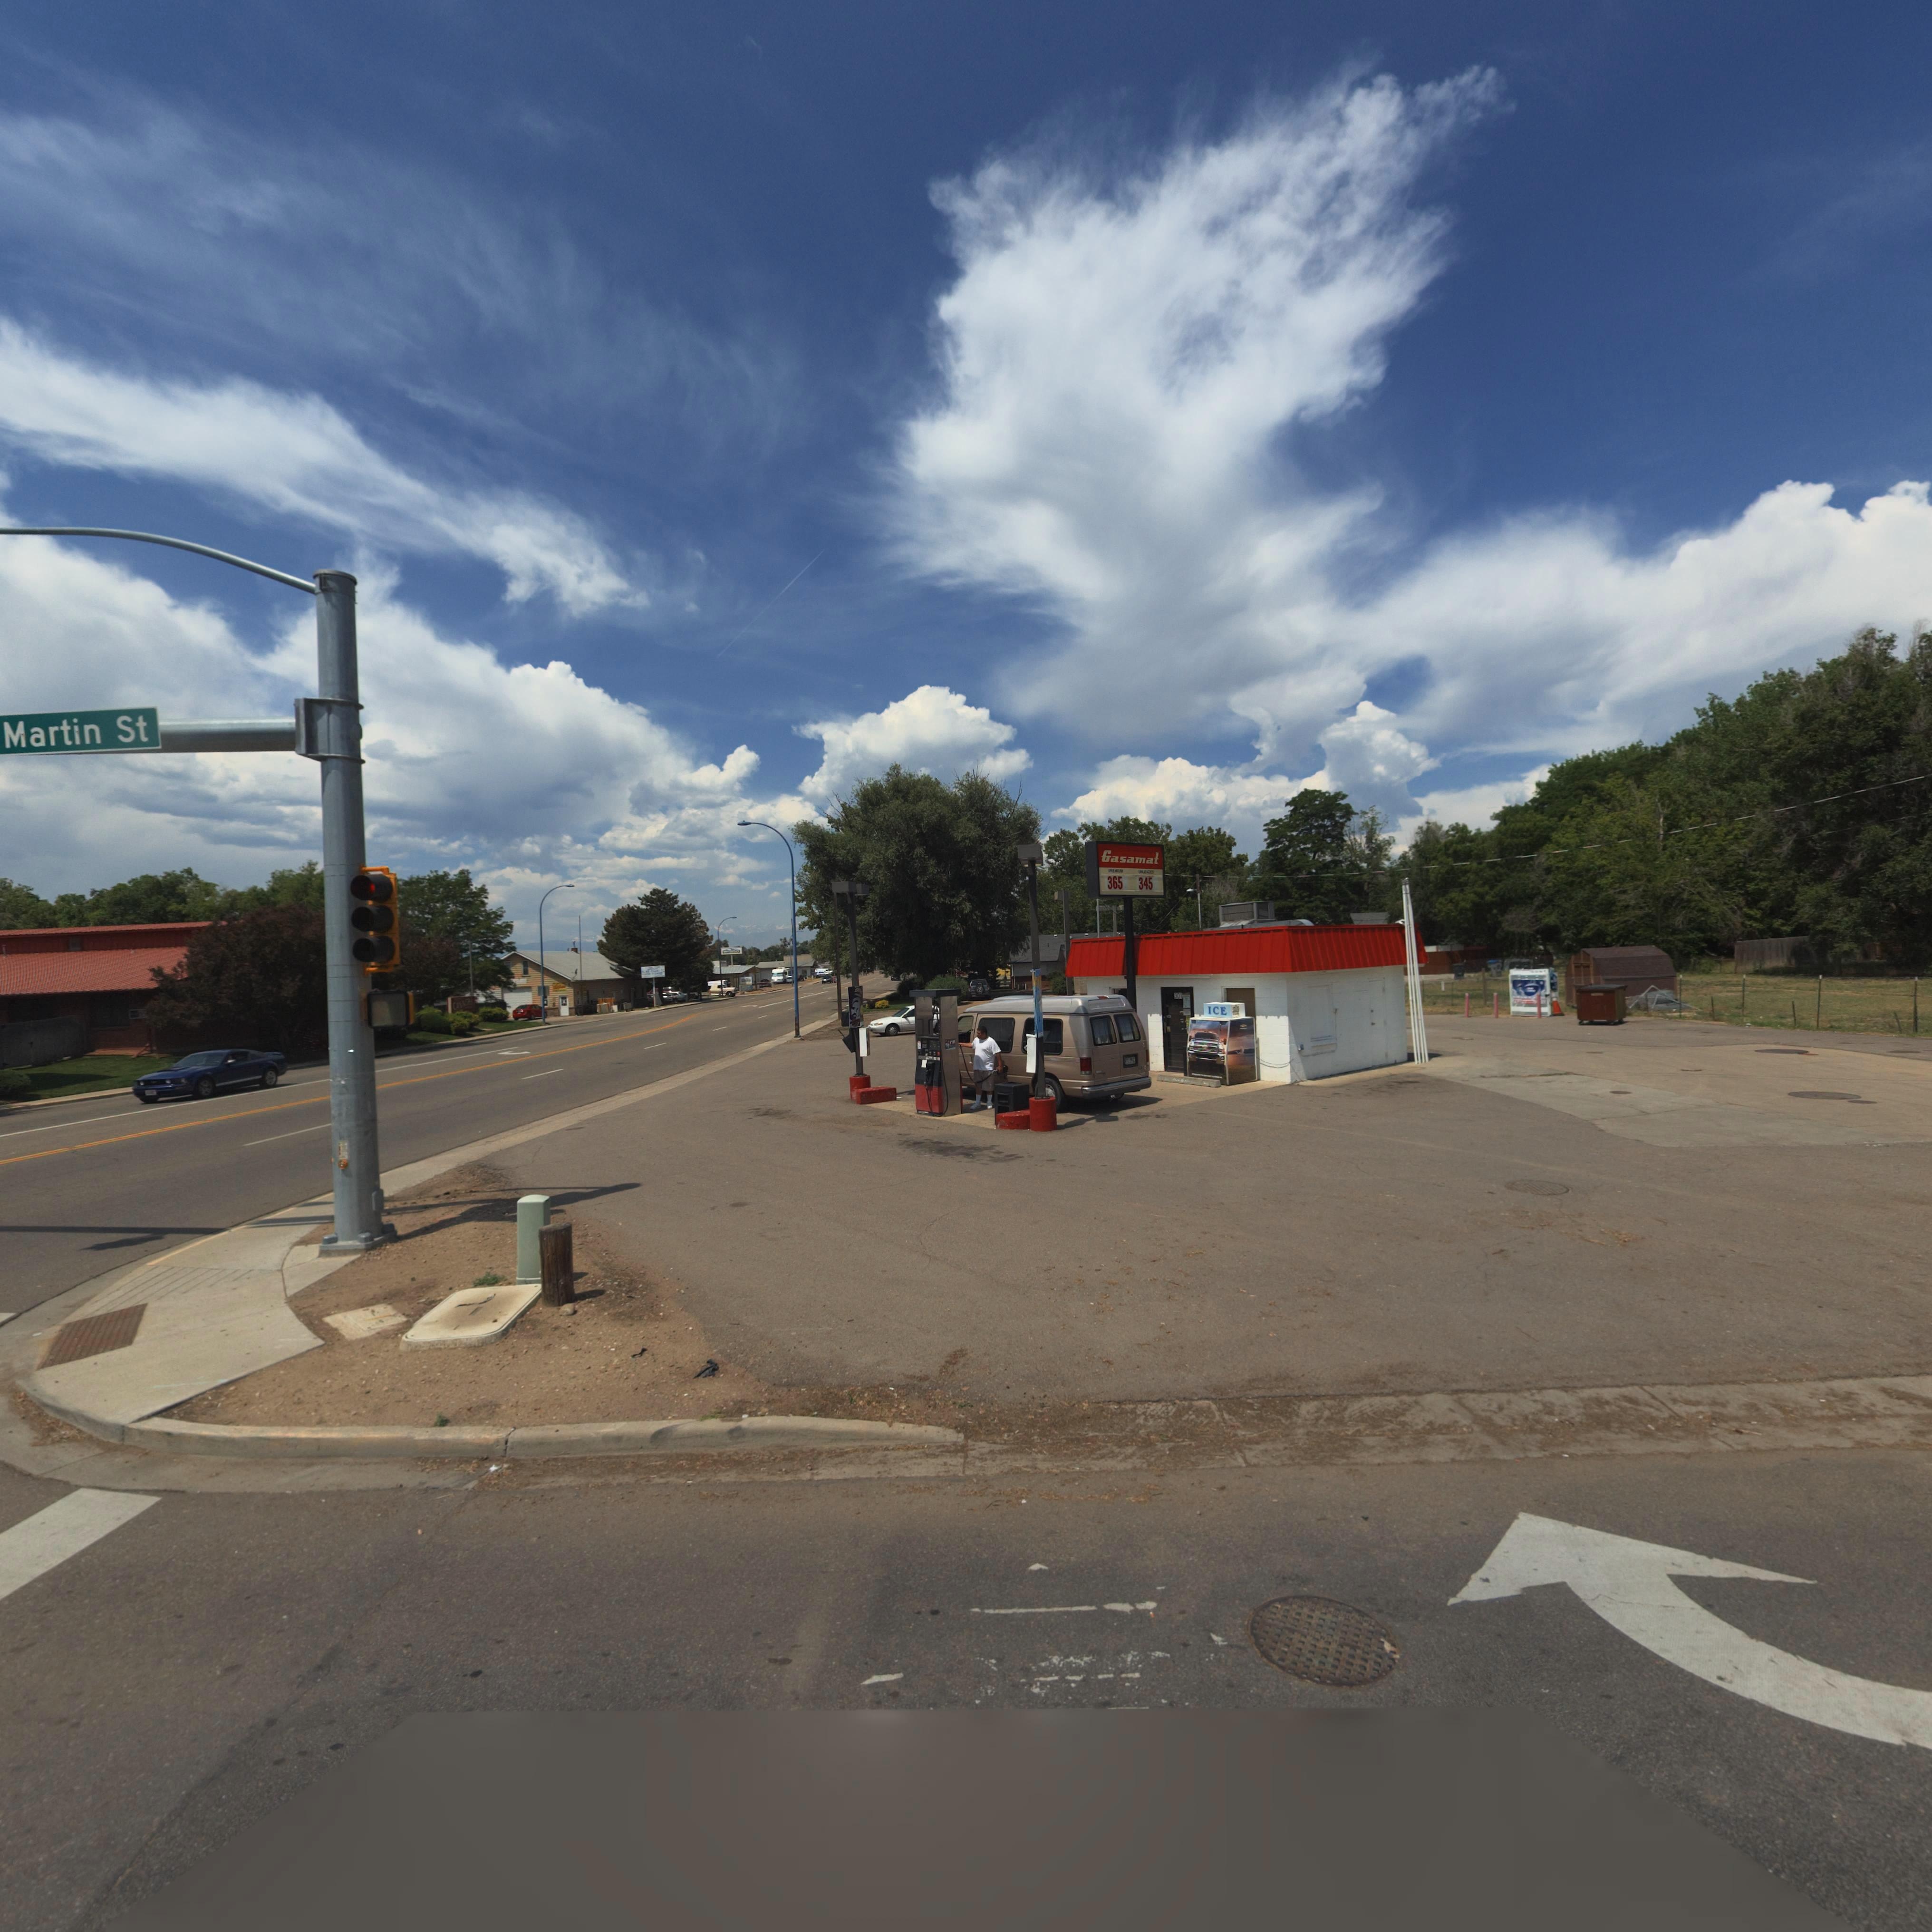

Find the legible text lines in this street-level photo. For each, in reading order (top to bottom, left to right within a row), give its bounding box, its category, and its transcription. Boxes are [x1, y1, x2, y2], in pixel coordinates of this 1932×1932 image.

[2, 715, 149, 749] StreetName: Martin St
[1101, 849, 1159, 864] BusinessName: Gasamat
[1174, 993, 1182, 998] StreetNumber: 301
[452, 998, 475, 1010] BusinessName: CANN***